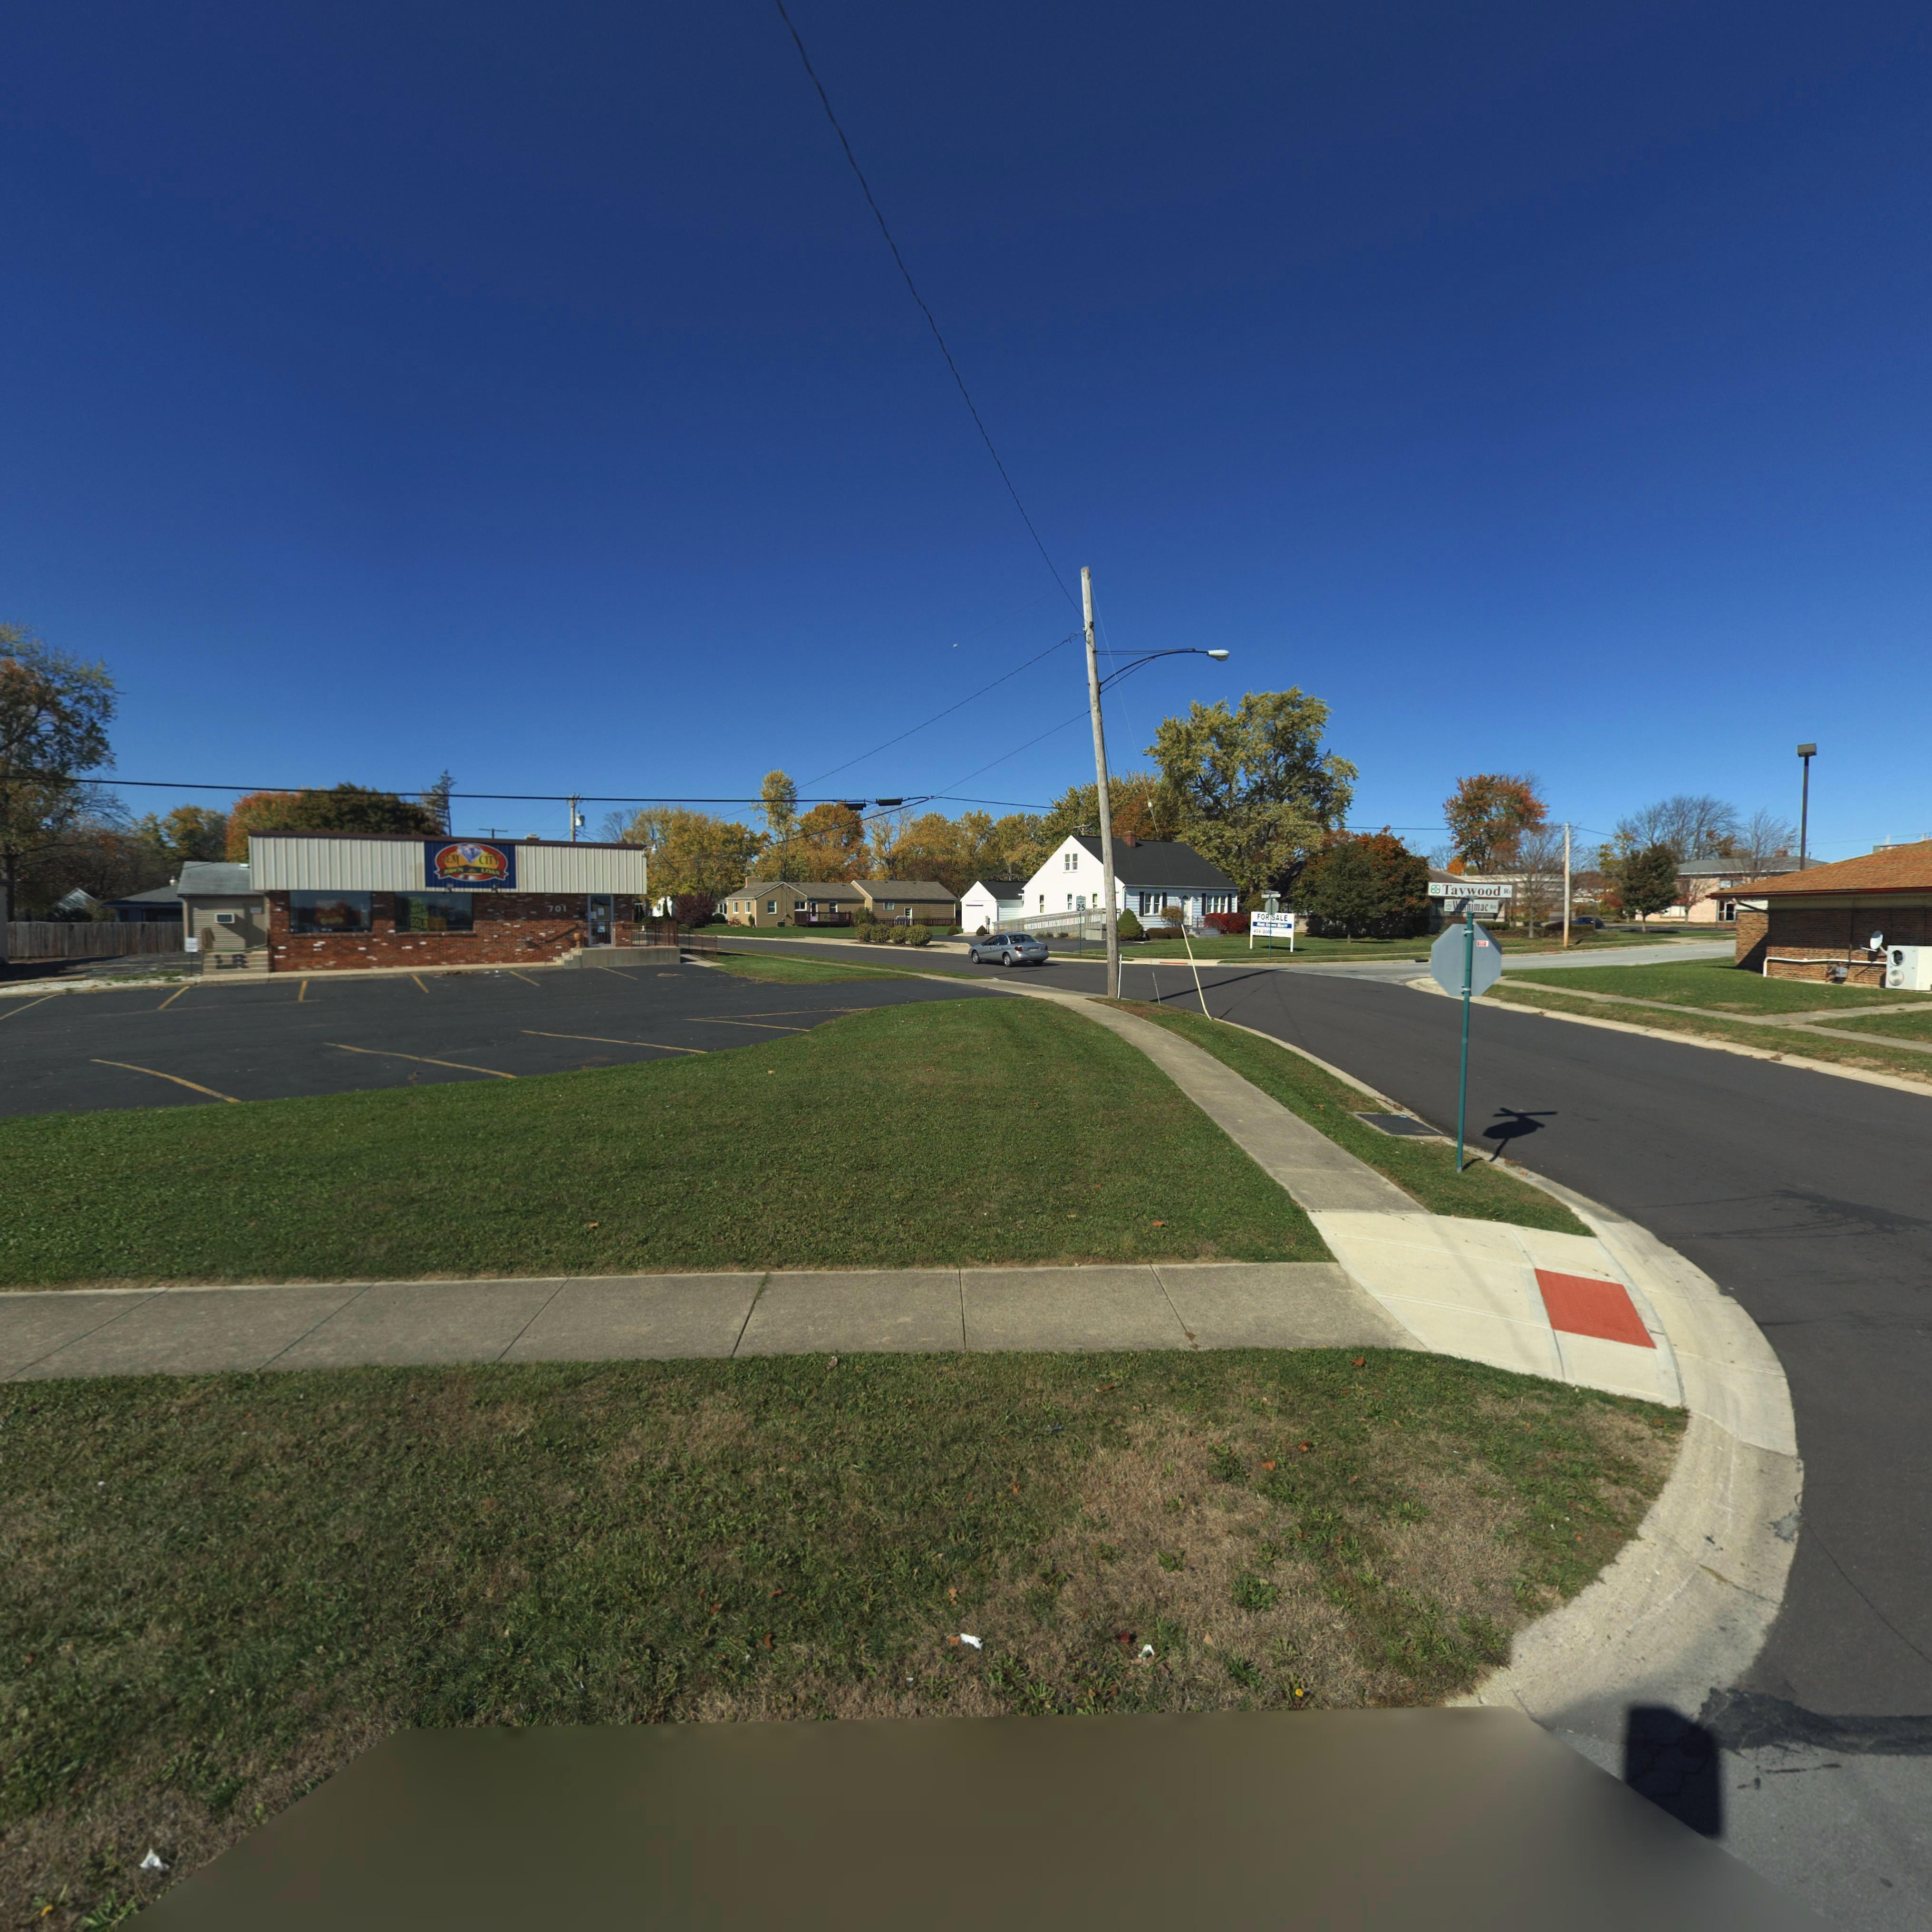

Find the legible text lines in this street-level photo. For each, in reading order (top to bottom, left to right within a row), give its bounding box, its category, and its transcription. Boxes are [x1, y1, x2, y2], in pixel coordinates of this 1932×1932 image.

[445, 853, 500, 866] BusinessName: EM CITY
[480, 867, 501, 876] BusinessName: LOAN
[1441, 883, 1509, 898] StreetName: Taywood R
[547, 904, 567, 913] StreetNumber: 701
[1452, 899, 1489, 912] StreetName: Winnimac